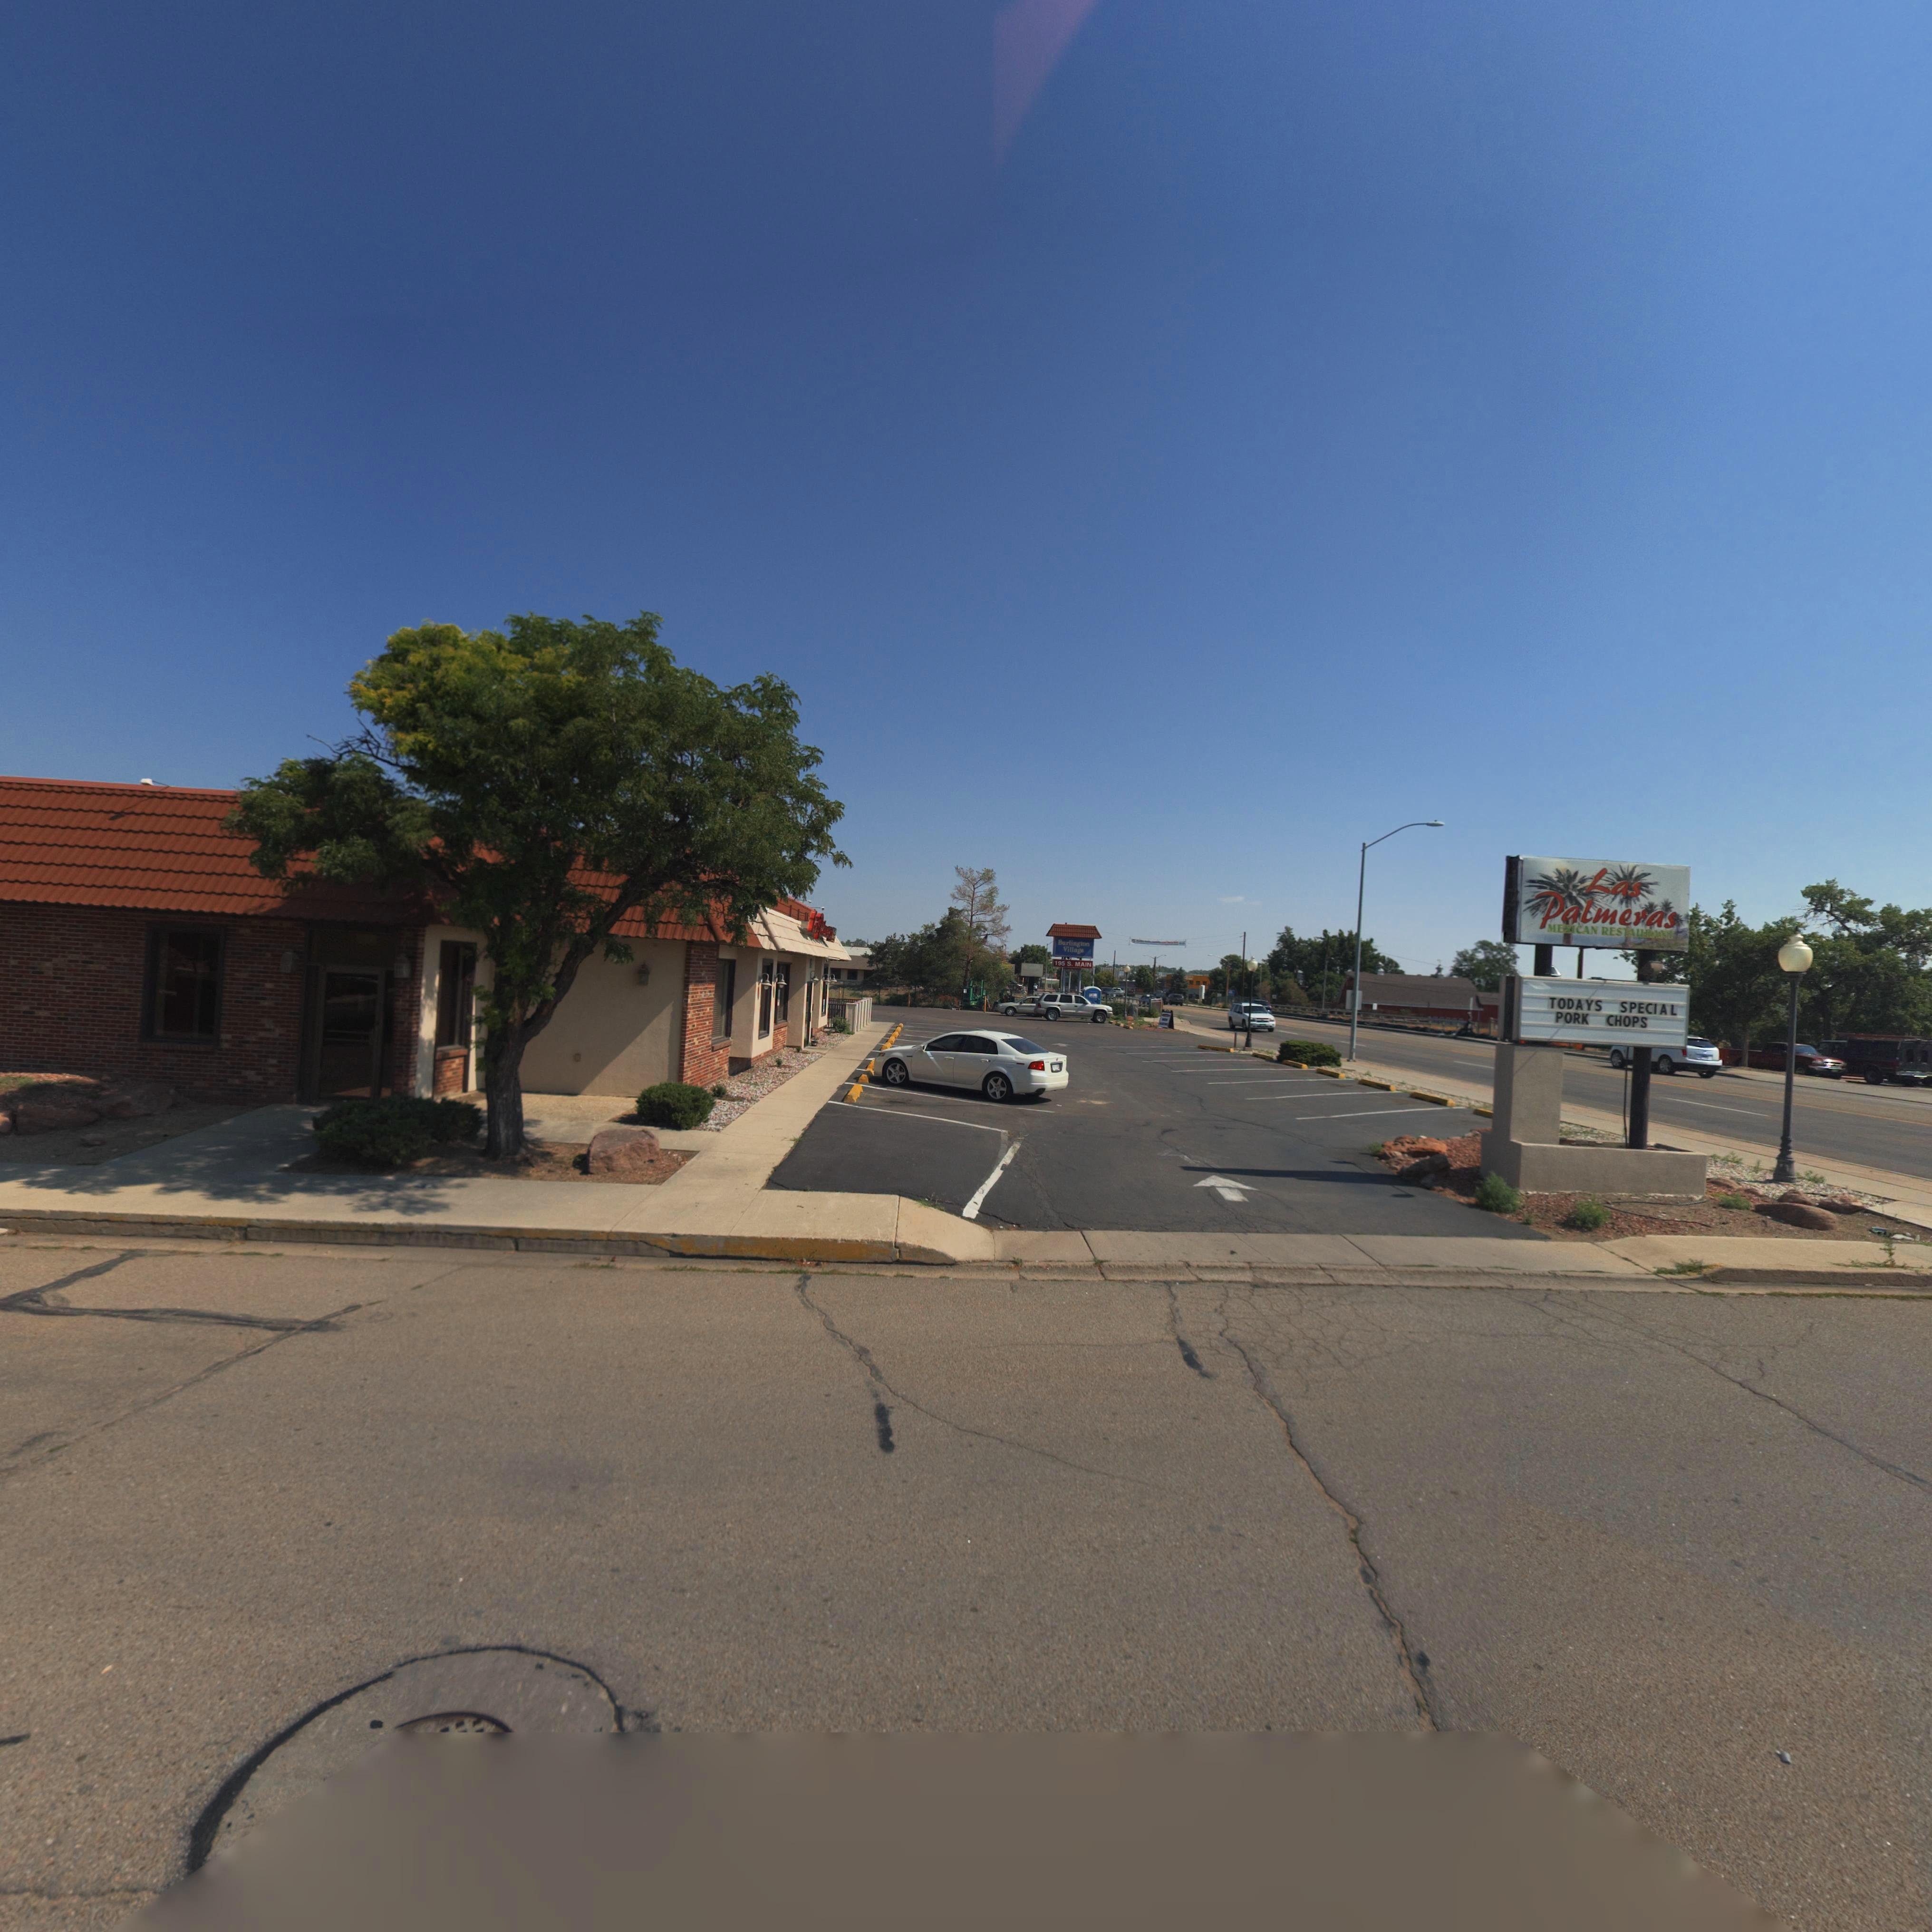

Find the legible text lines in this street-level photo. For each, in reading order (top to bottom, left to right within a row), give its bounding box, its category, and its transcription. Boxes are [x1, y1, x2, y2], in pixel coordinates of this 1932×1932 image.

[1583, 866, 1642, 898] BusinessName: Las
[807, 909, 833, 939] BusinessName: L**P*l***s
[1534, 889, 1678, 930] BusinessName: Palmeras
[1054, 960, 1065, 966] StreetNumber: 195
[1066, 961, 1092, 967] StreetName: S. MAIN